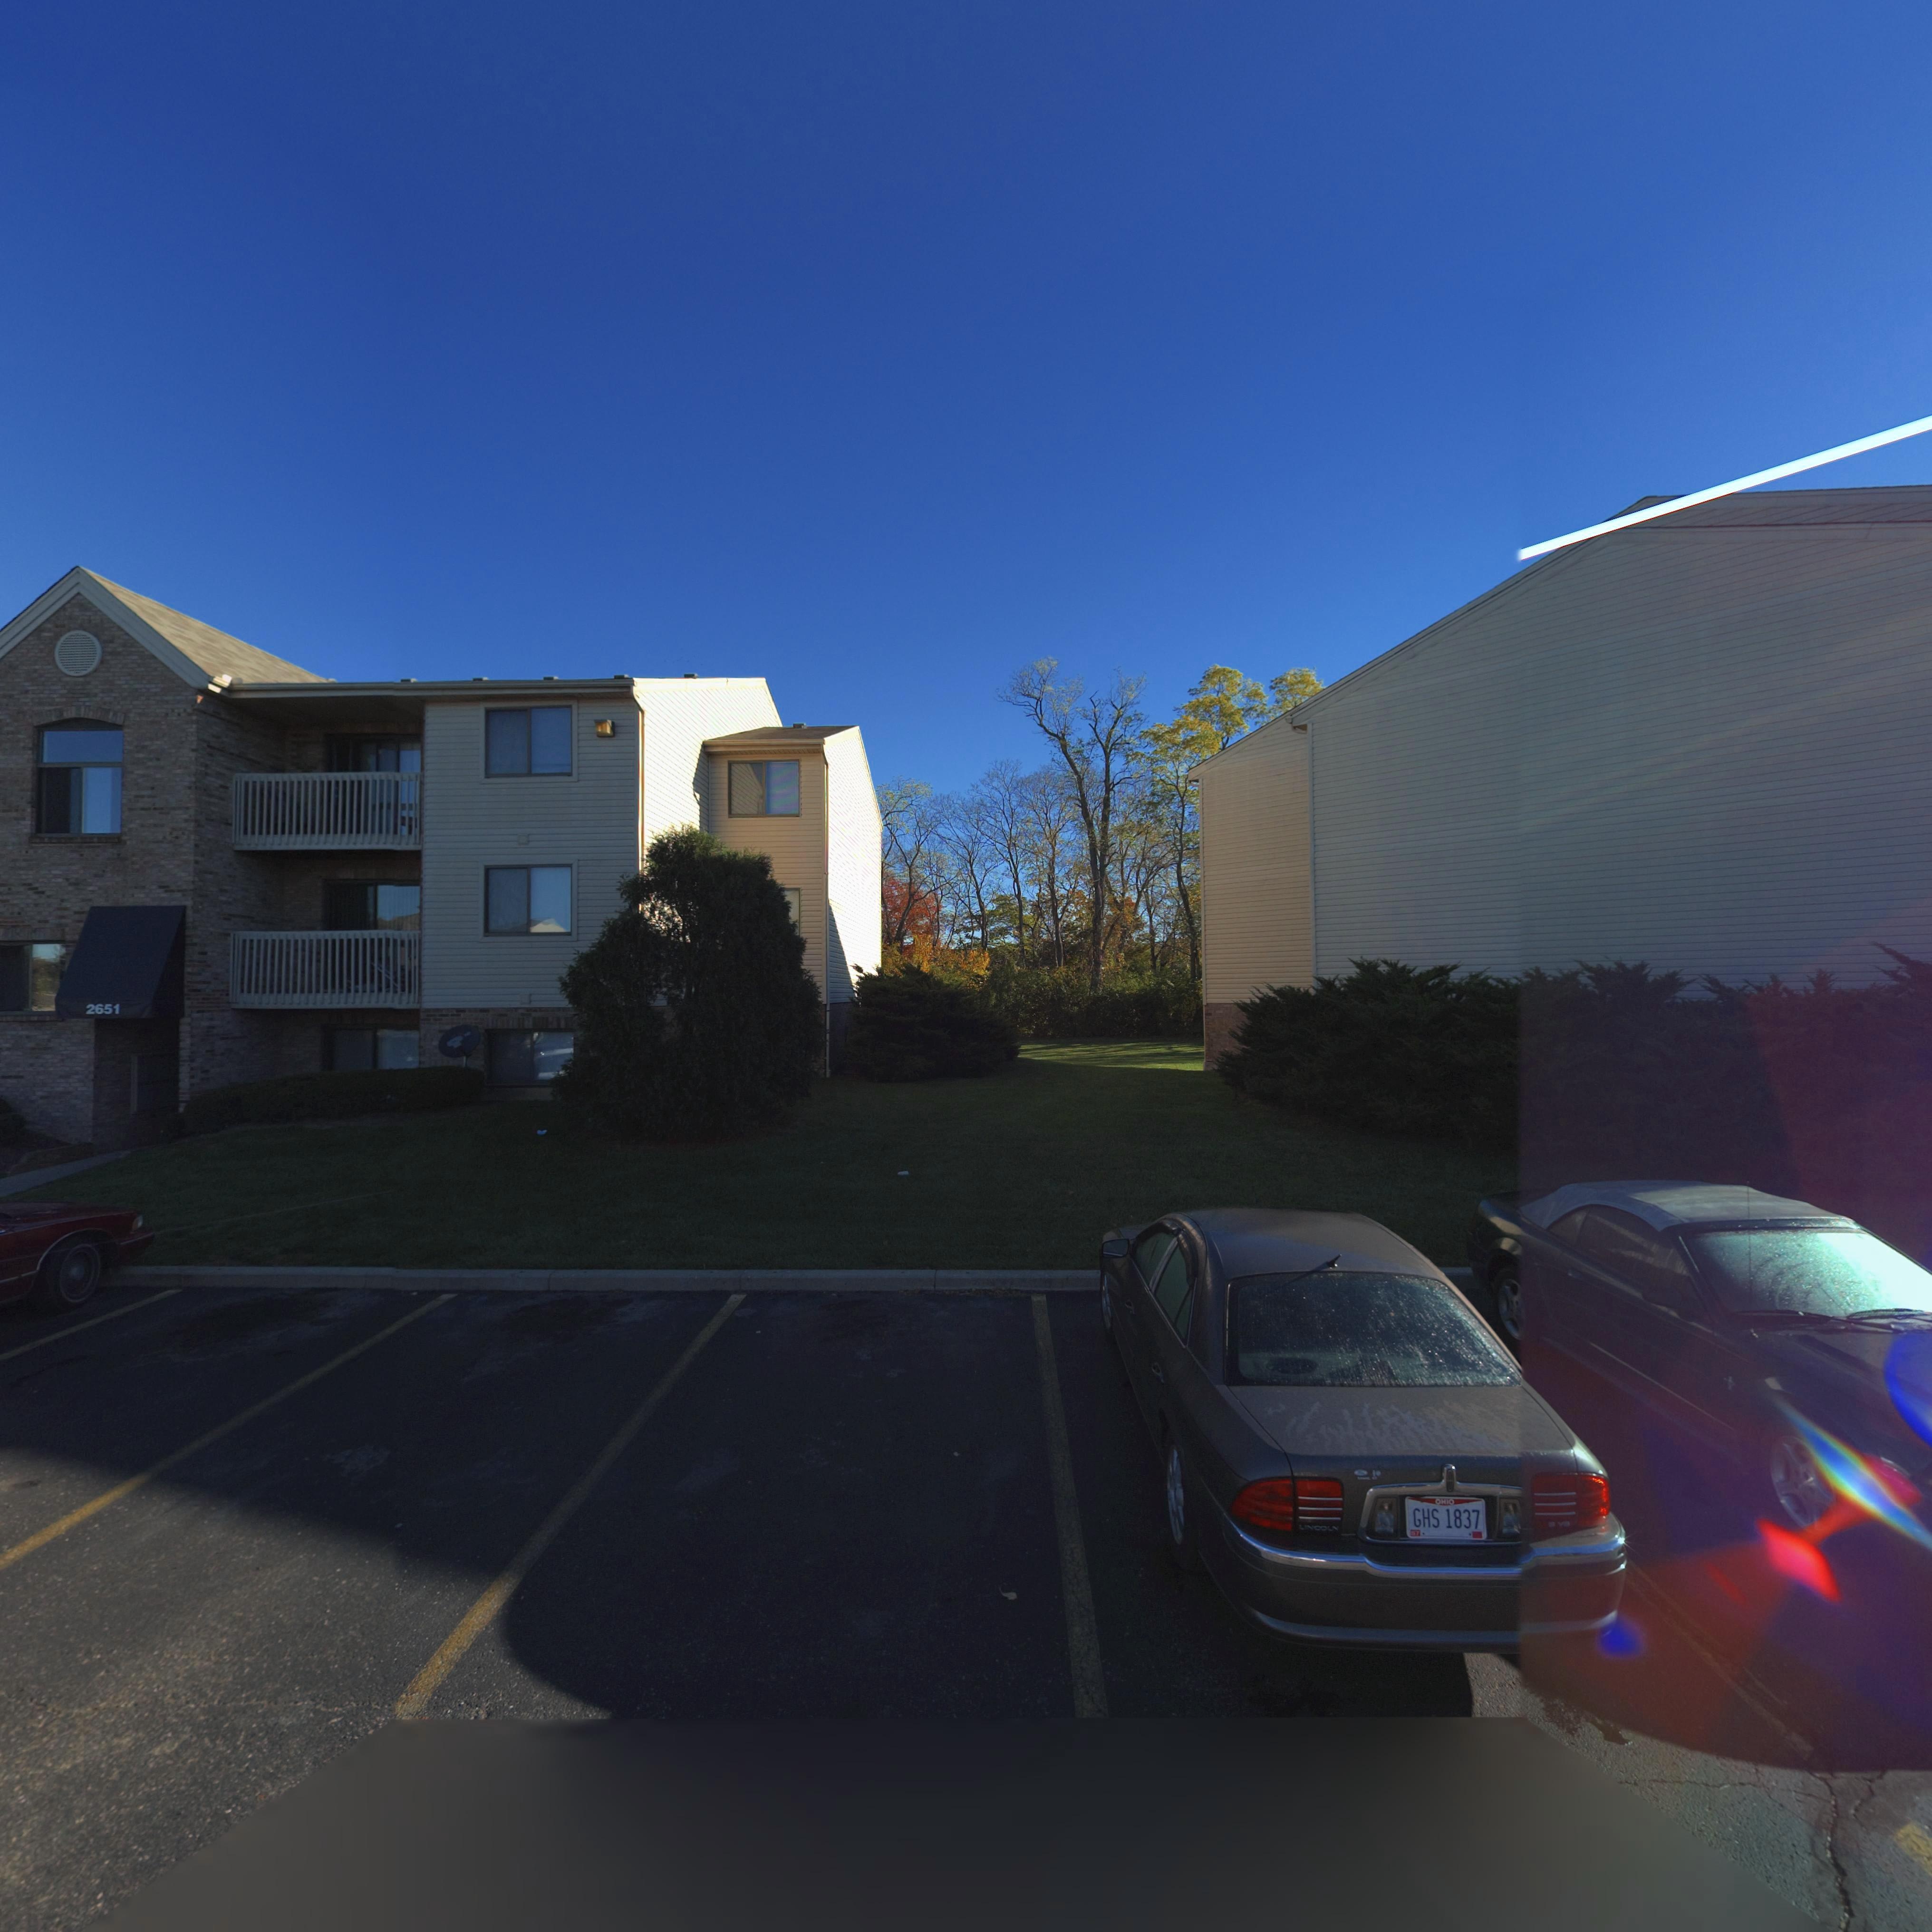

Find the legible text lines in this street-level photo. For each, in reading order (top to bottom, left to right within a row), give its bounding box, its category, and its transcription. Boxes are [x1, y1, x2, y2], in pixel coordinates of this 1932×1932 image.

[85, 1003, 121, 1015] StreetNumber: 2651